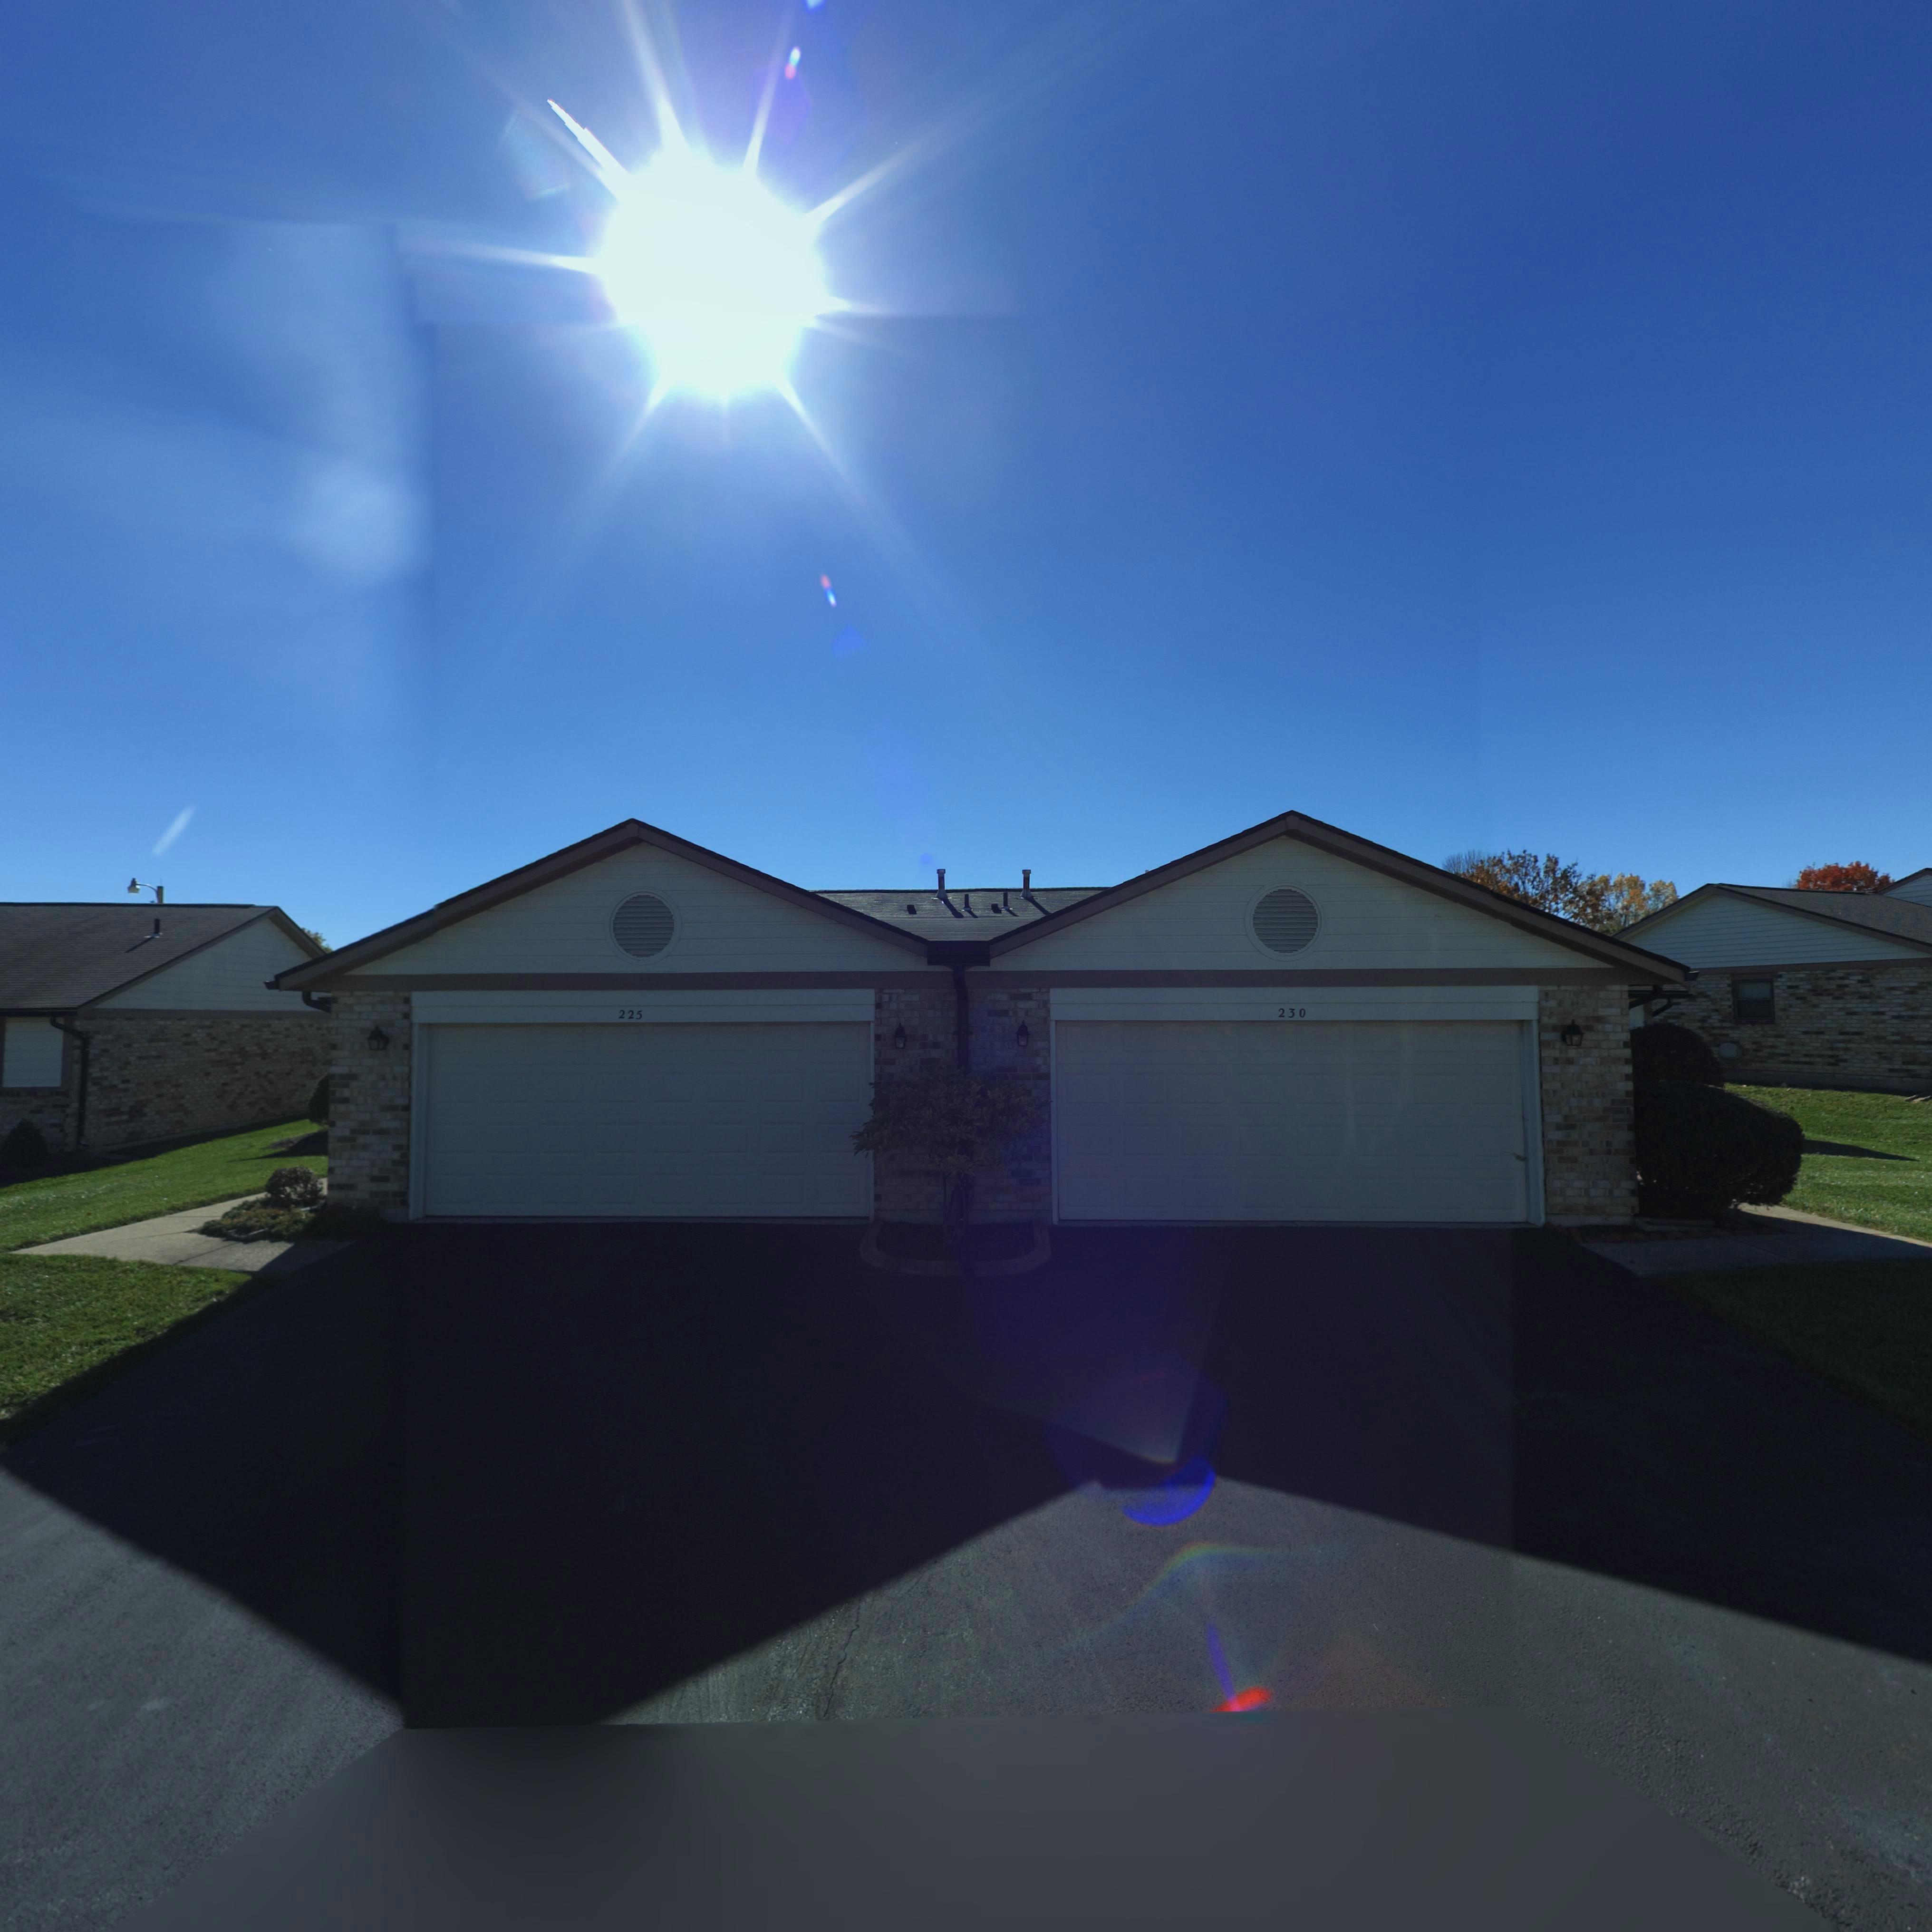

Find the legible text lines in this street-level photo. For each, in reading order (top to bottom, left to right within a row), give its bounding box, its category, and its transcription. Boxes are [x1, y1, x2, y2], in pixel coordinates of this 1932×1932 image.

[617, 1008, 643, 1020] StreetNumber: 225
[1277, 1007, 1306, 1019] StreetNumber: 230